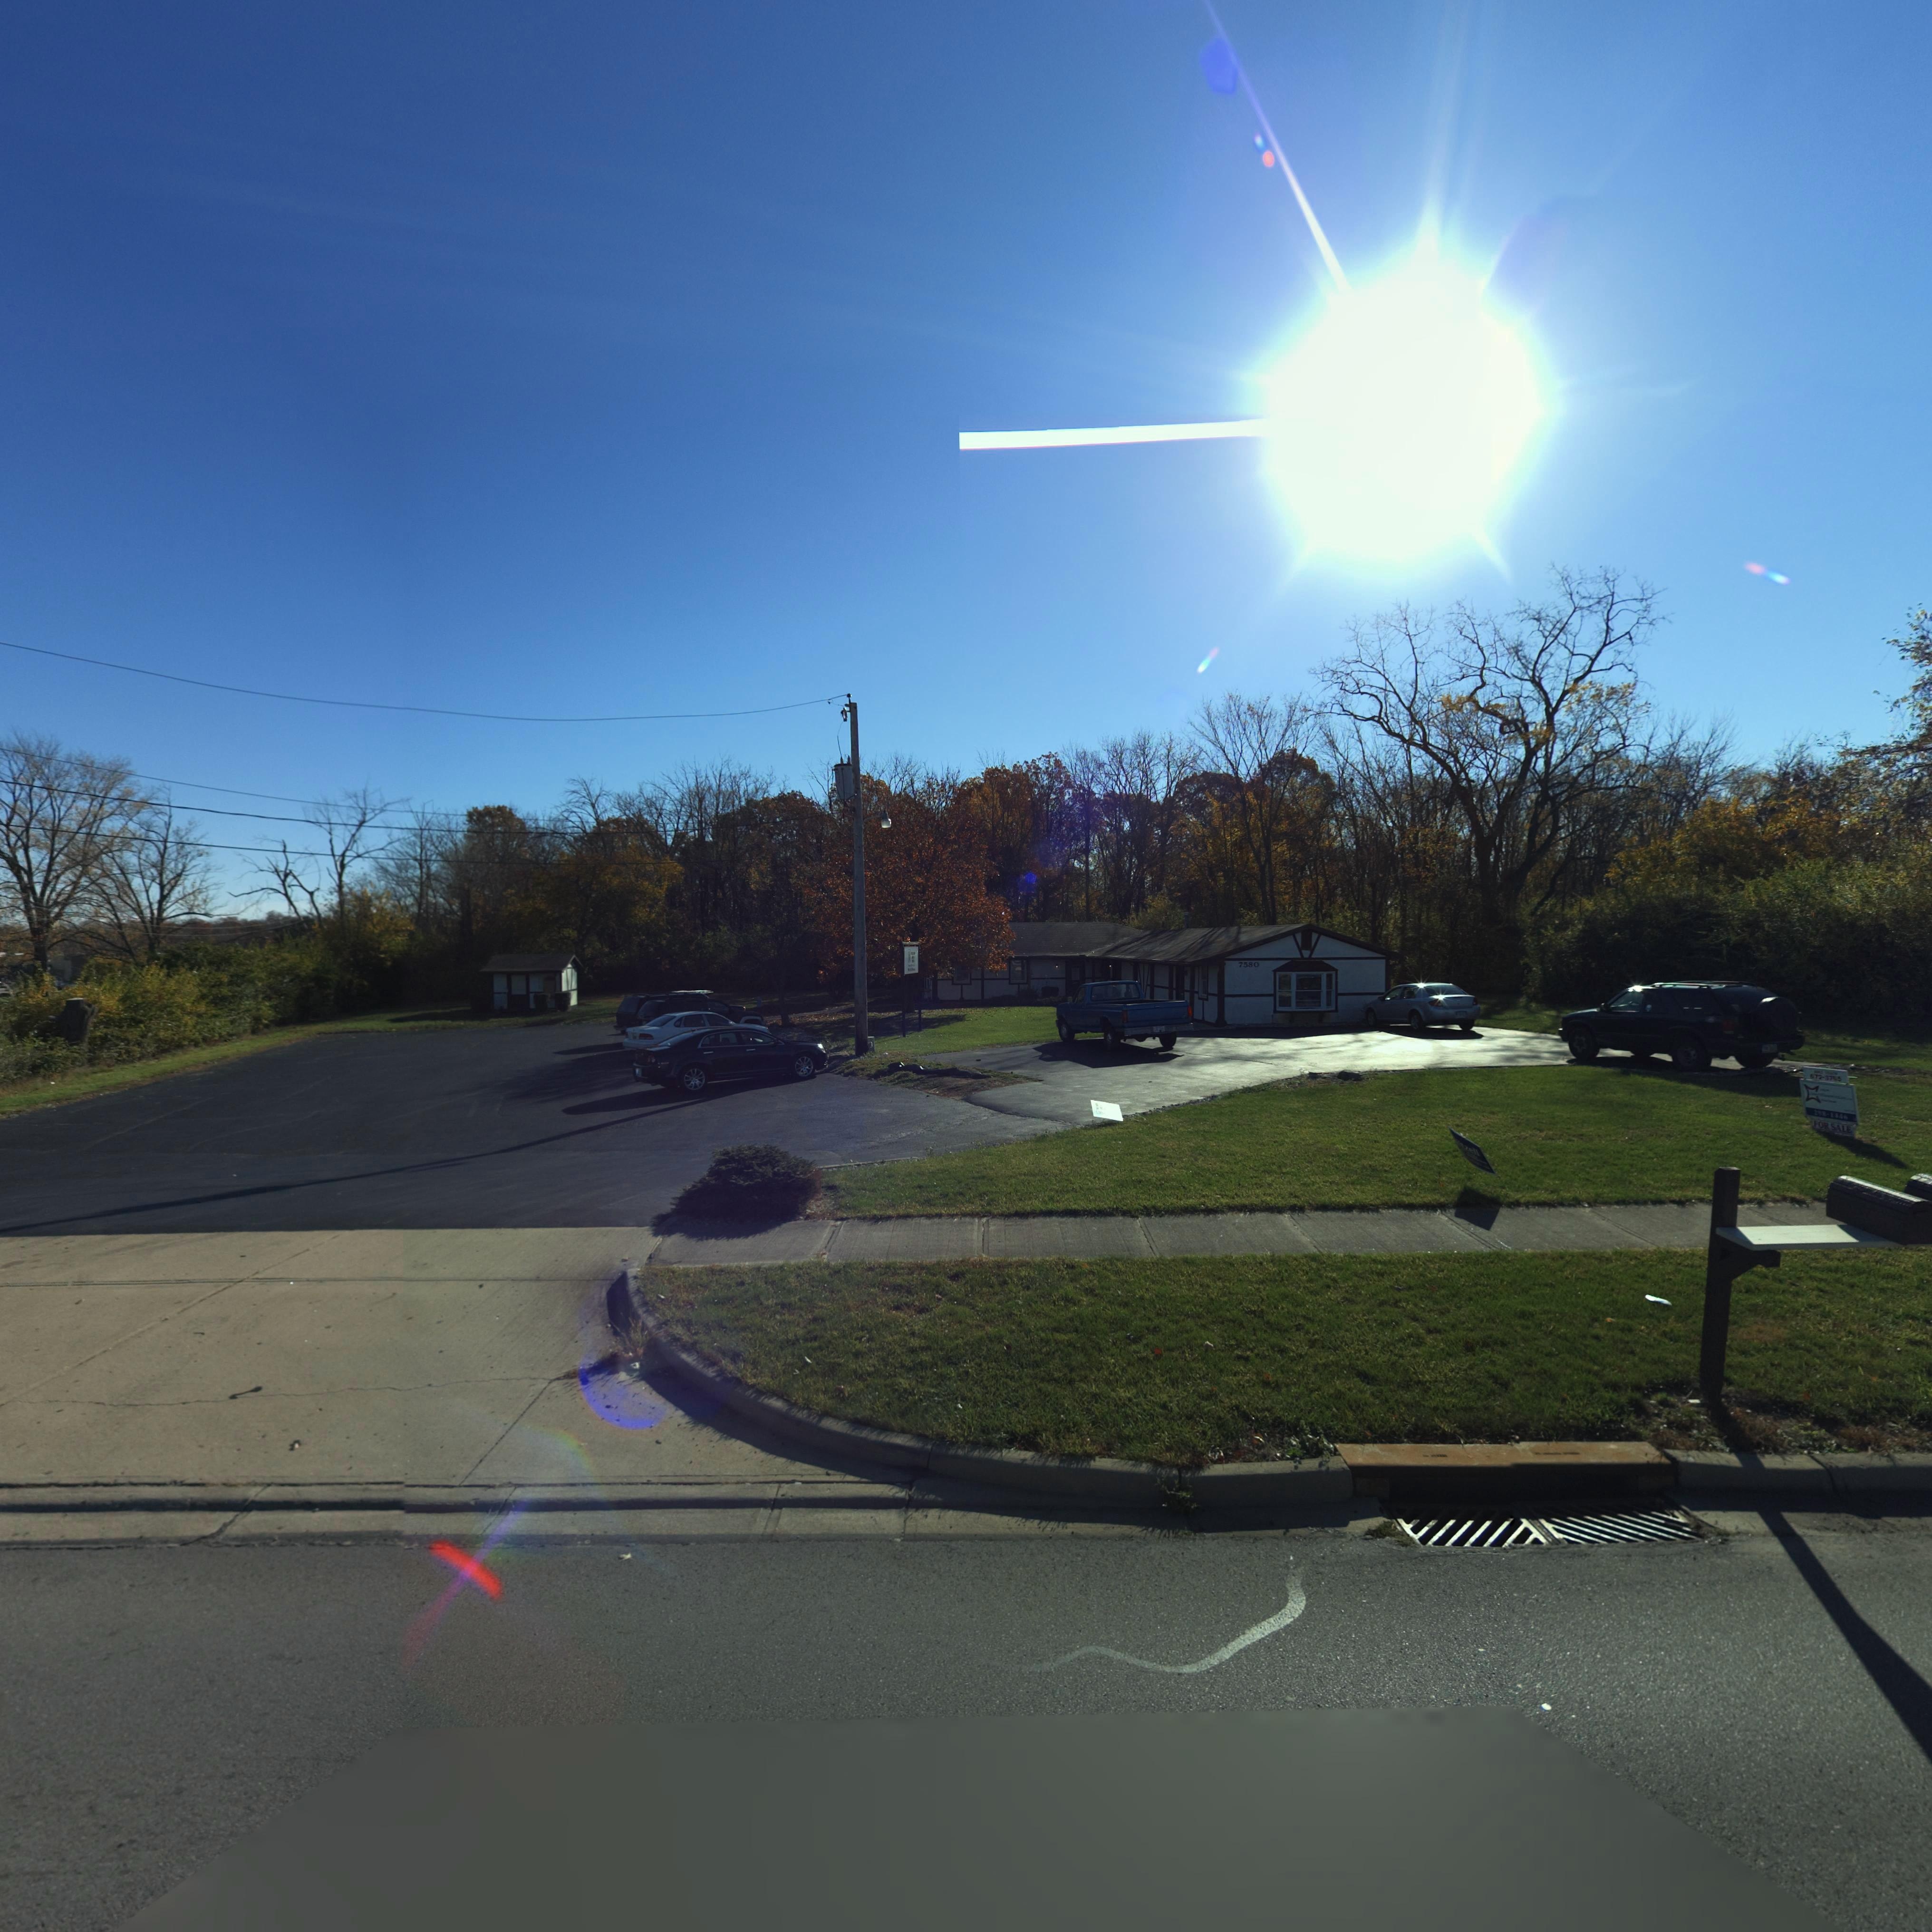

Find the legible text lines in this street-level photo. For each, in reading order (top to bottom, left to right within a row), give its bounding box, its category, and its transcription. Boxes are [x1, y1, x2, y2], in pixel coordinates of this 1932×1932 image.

[1237, 961, 1260, 969] StreetNumber: 7580